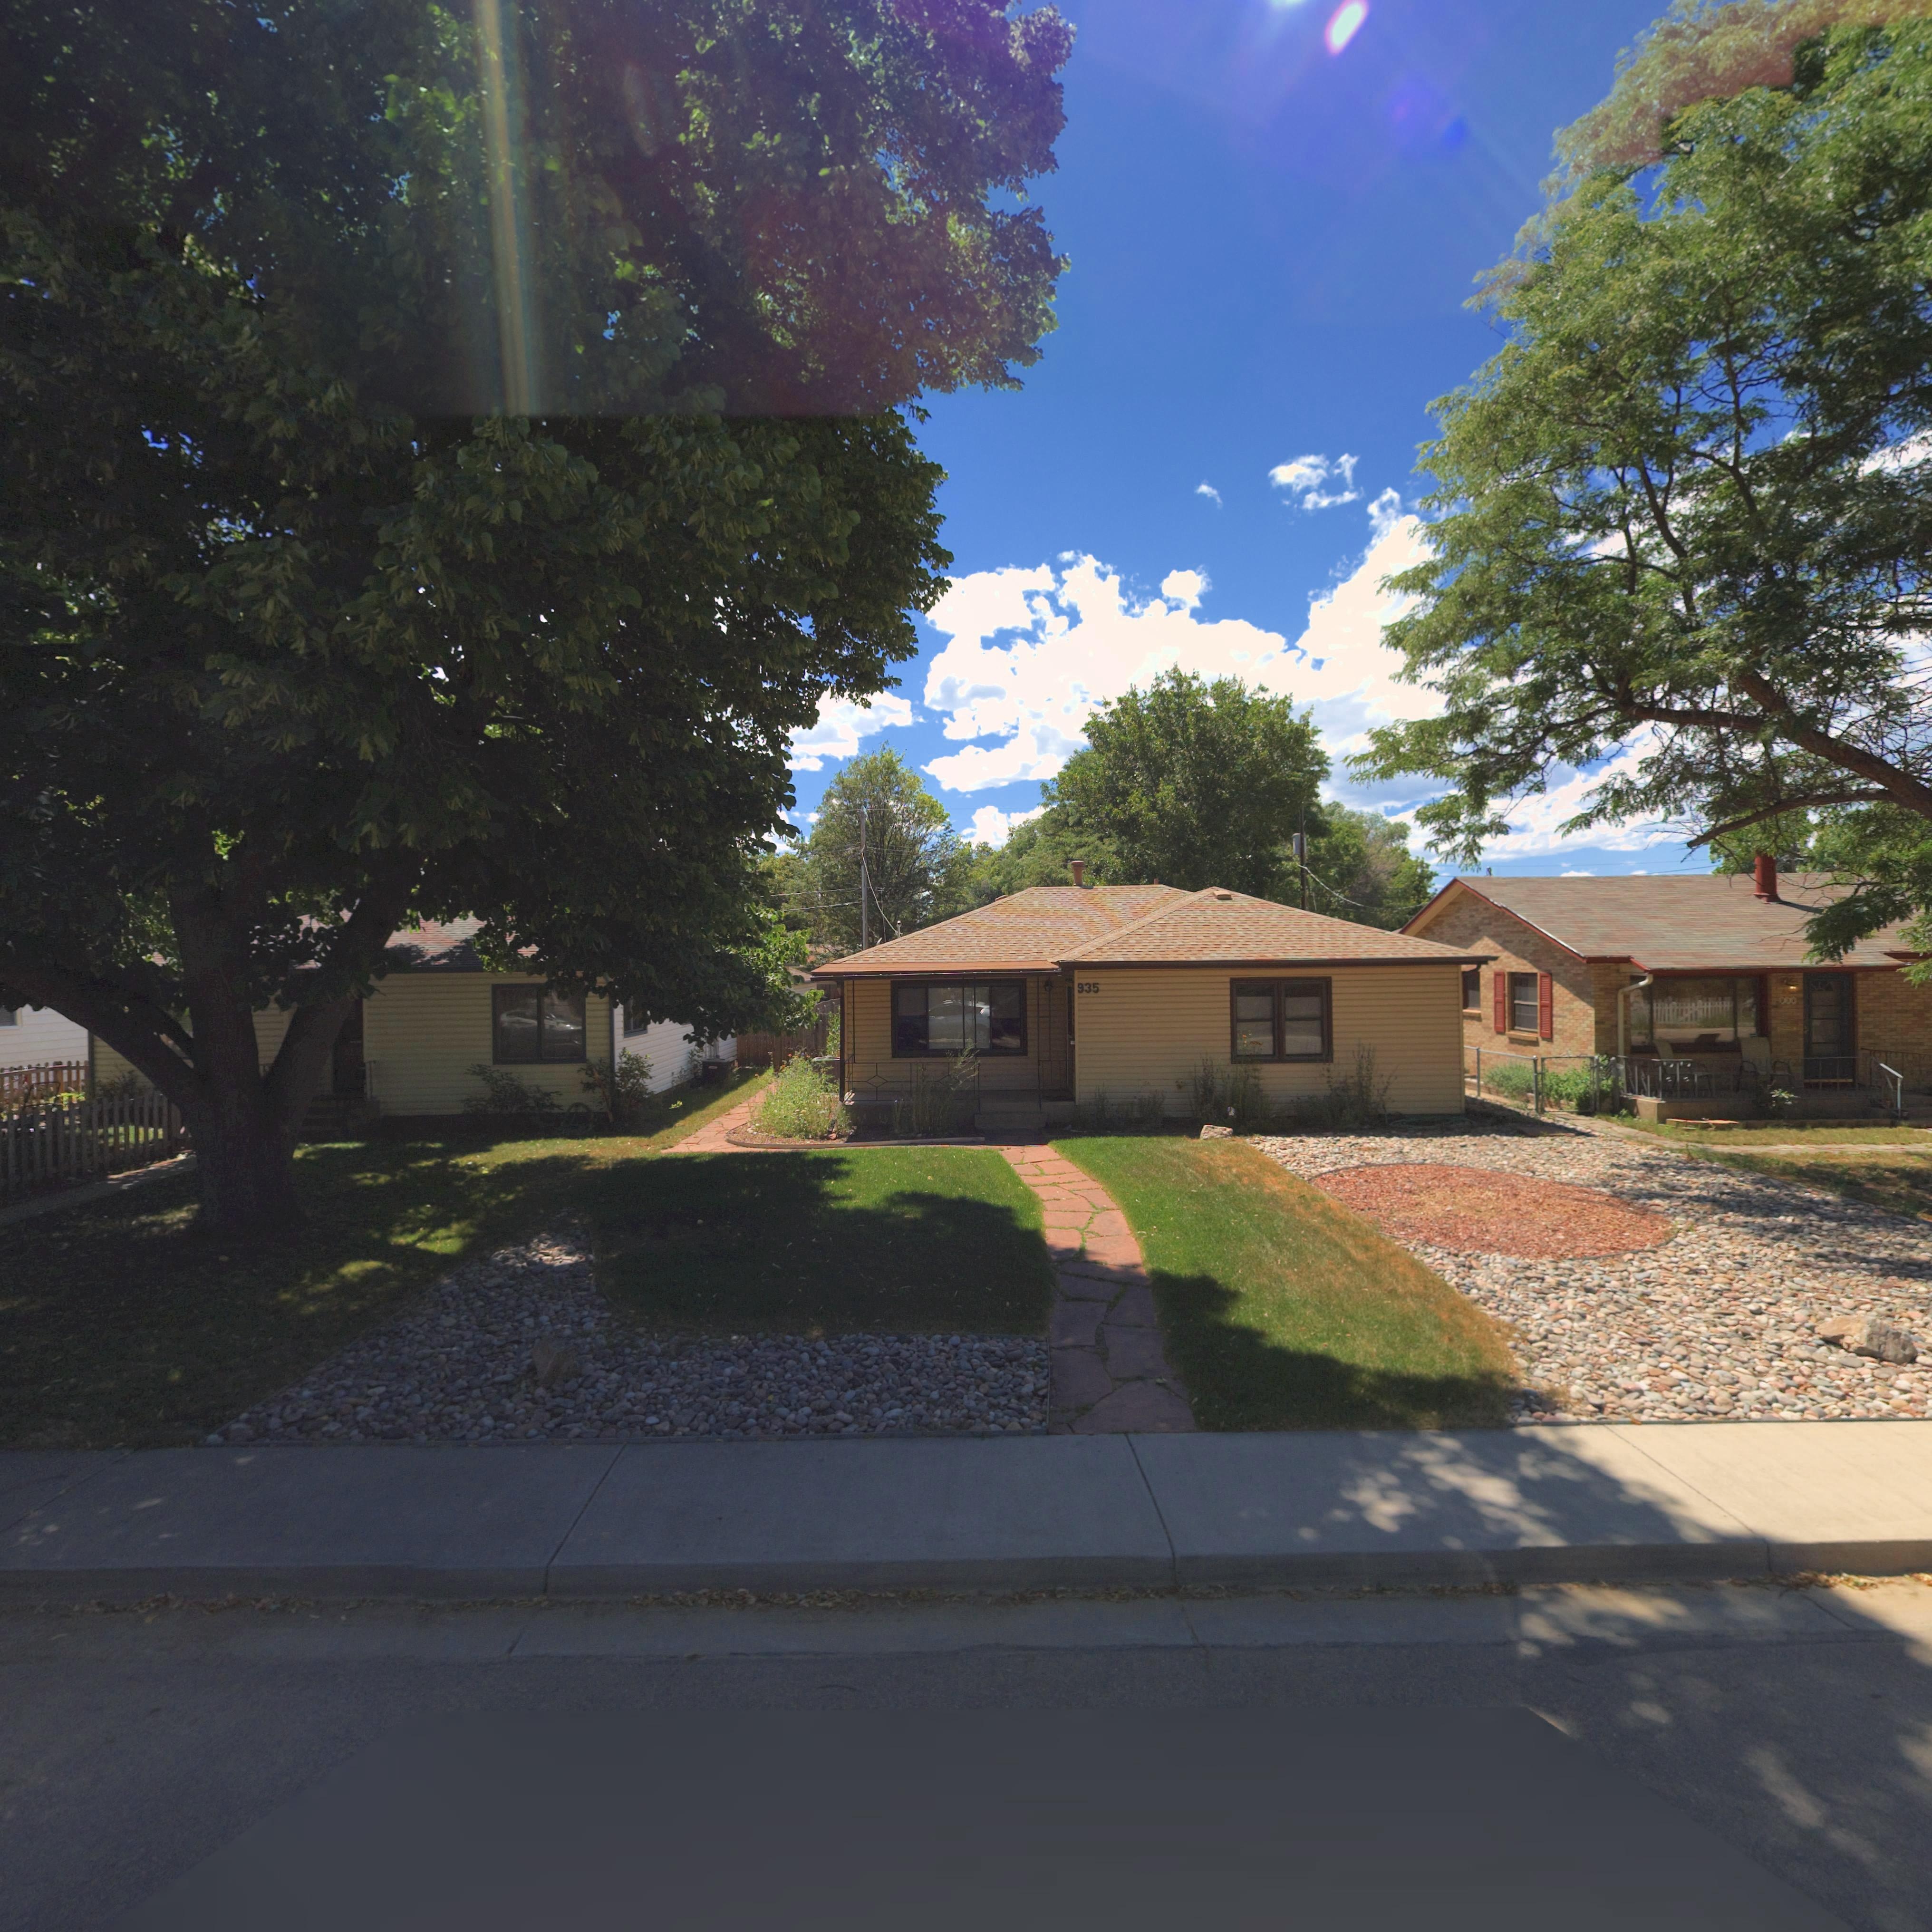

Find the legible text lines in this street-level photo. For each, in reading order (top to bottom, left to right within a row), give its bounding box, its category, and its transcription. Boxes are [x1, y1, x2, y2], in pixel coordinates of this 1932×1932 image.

[1077, 982, 1099, 994] StreetNumber: 935